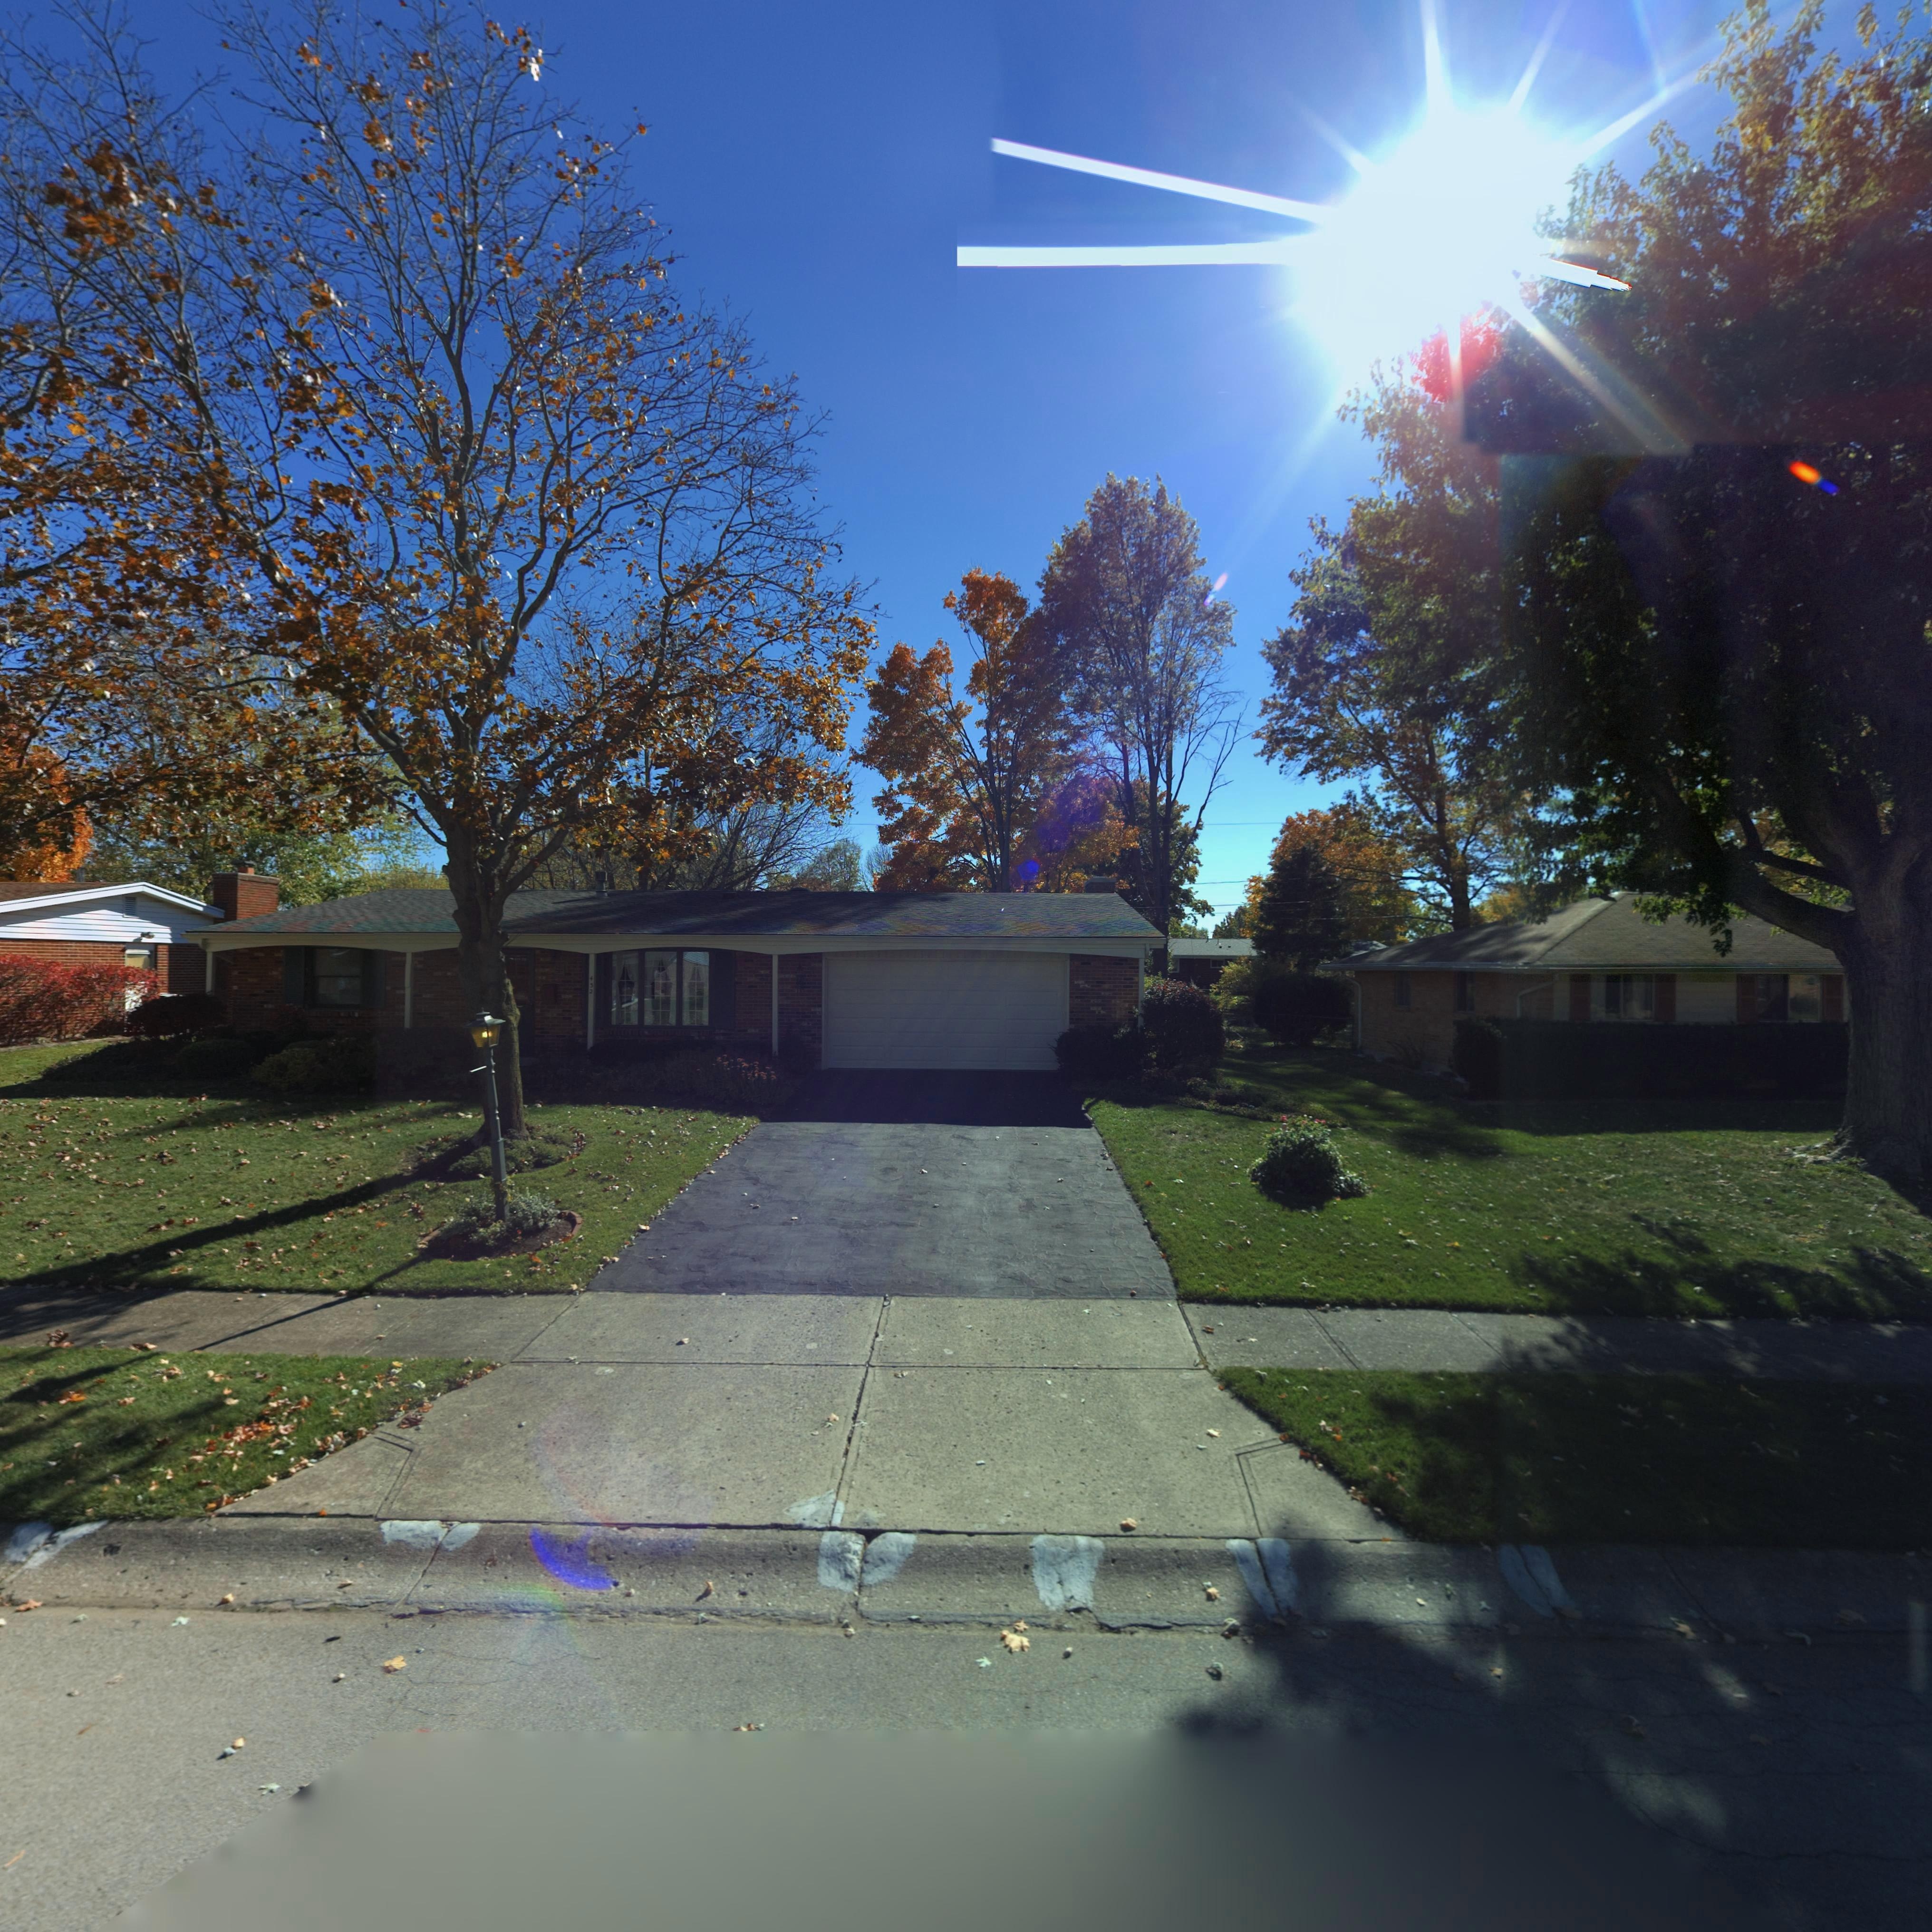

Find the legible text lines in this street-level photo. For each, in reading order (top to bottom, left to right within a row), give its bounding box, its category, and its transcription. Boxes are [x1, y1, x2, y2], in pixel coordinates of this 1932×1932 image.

[588, 975, 595, 995] StreetNumber: 432